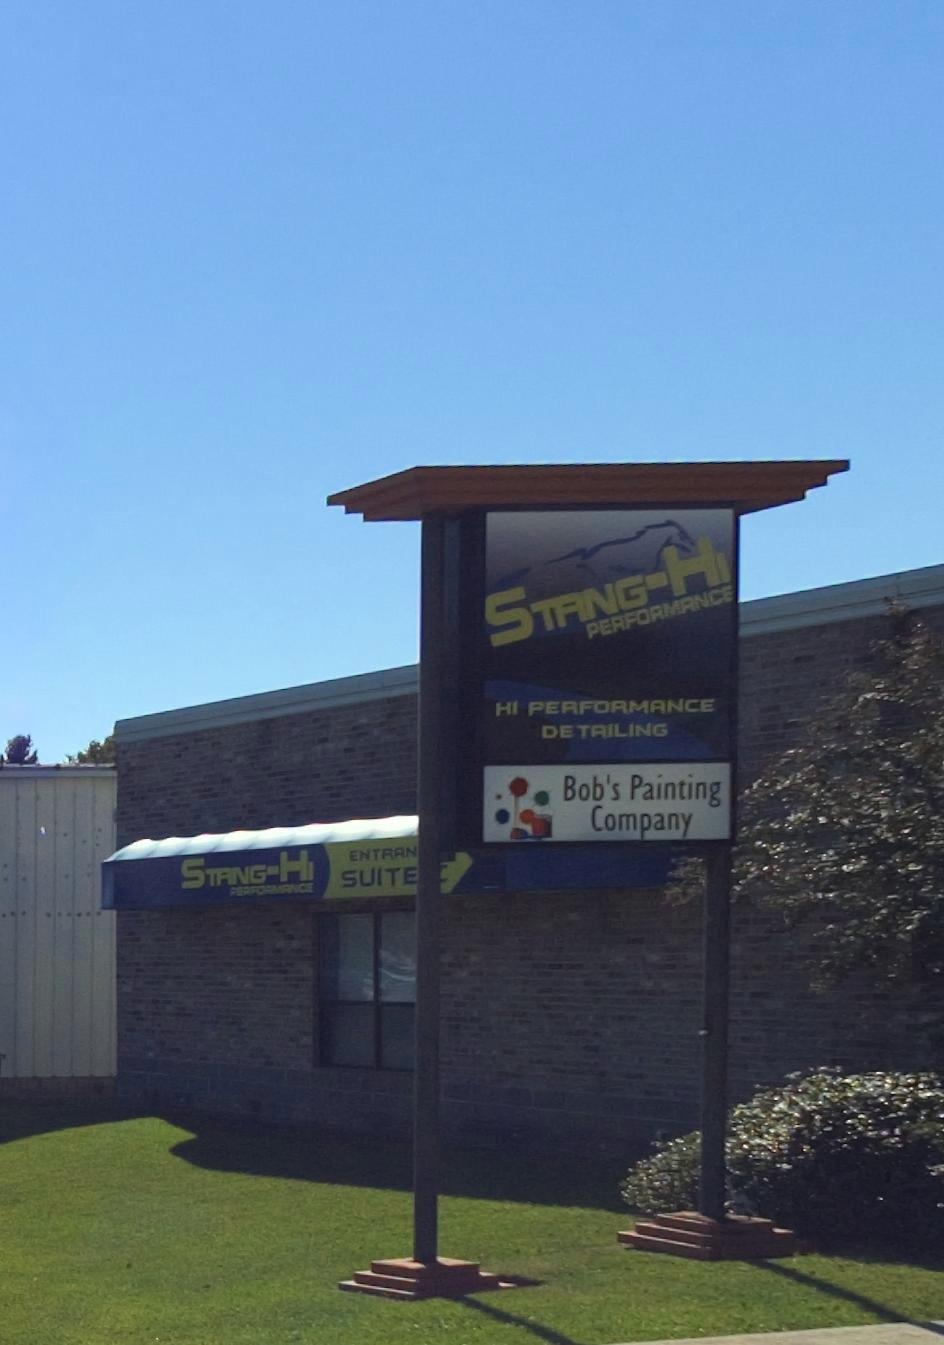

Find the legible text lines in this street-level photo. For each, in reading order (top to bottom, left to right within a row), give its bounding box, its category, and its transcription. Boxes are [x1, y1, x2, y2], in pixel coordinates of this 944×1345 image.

[480, 531, 738, 653] BusinessName: STANG-HI
[581, 581, 738, 644] BusinessName: PERFORMANCE
[494, 695, 717, 720] None: HI PERFORMANCE
[540, 720, 670, 742] None: DETAILING
[562, 770, 724, 810] BusinessName: Bob"s Painting
[587, 801, 697, 845] BusinessName: Company
[178, 847, 316, 892] BusinessName: STANG-HI
[339, 864, 420, 890] None: SUITE
[346, 843, 419, 864] None: ENTRAN